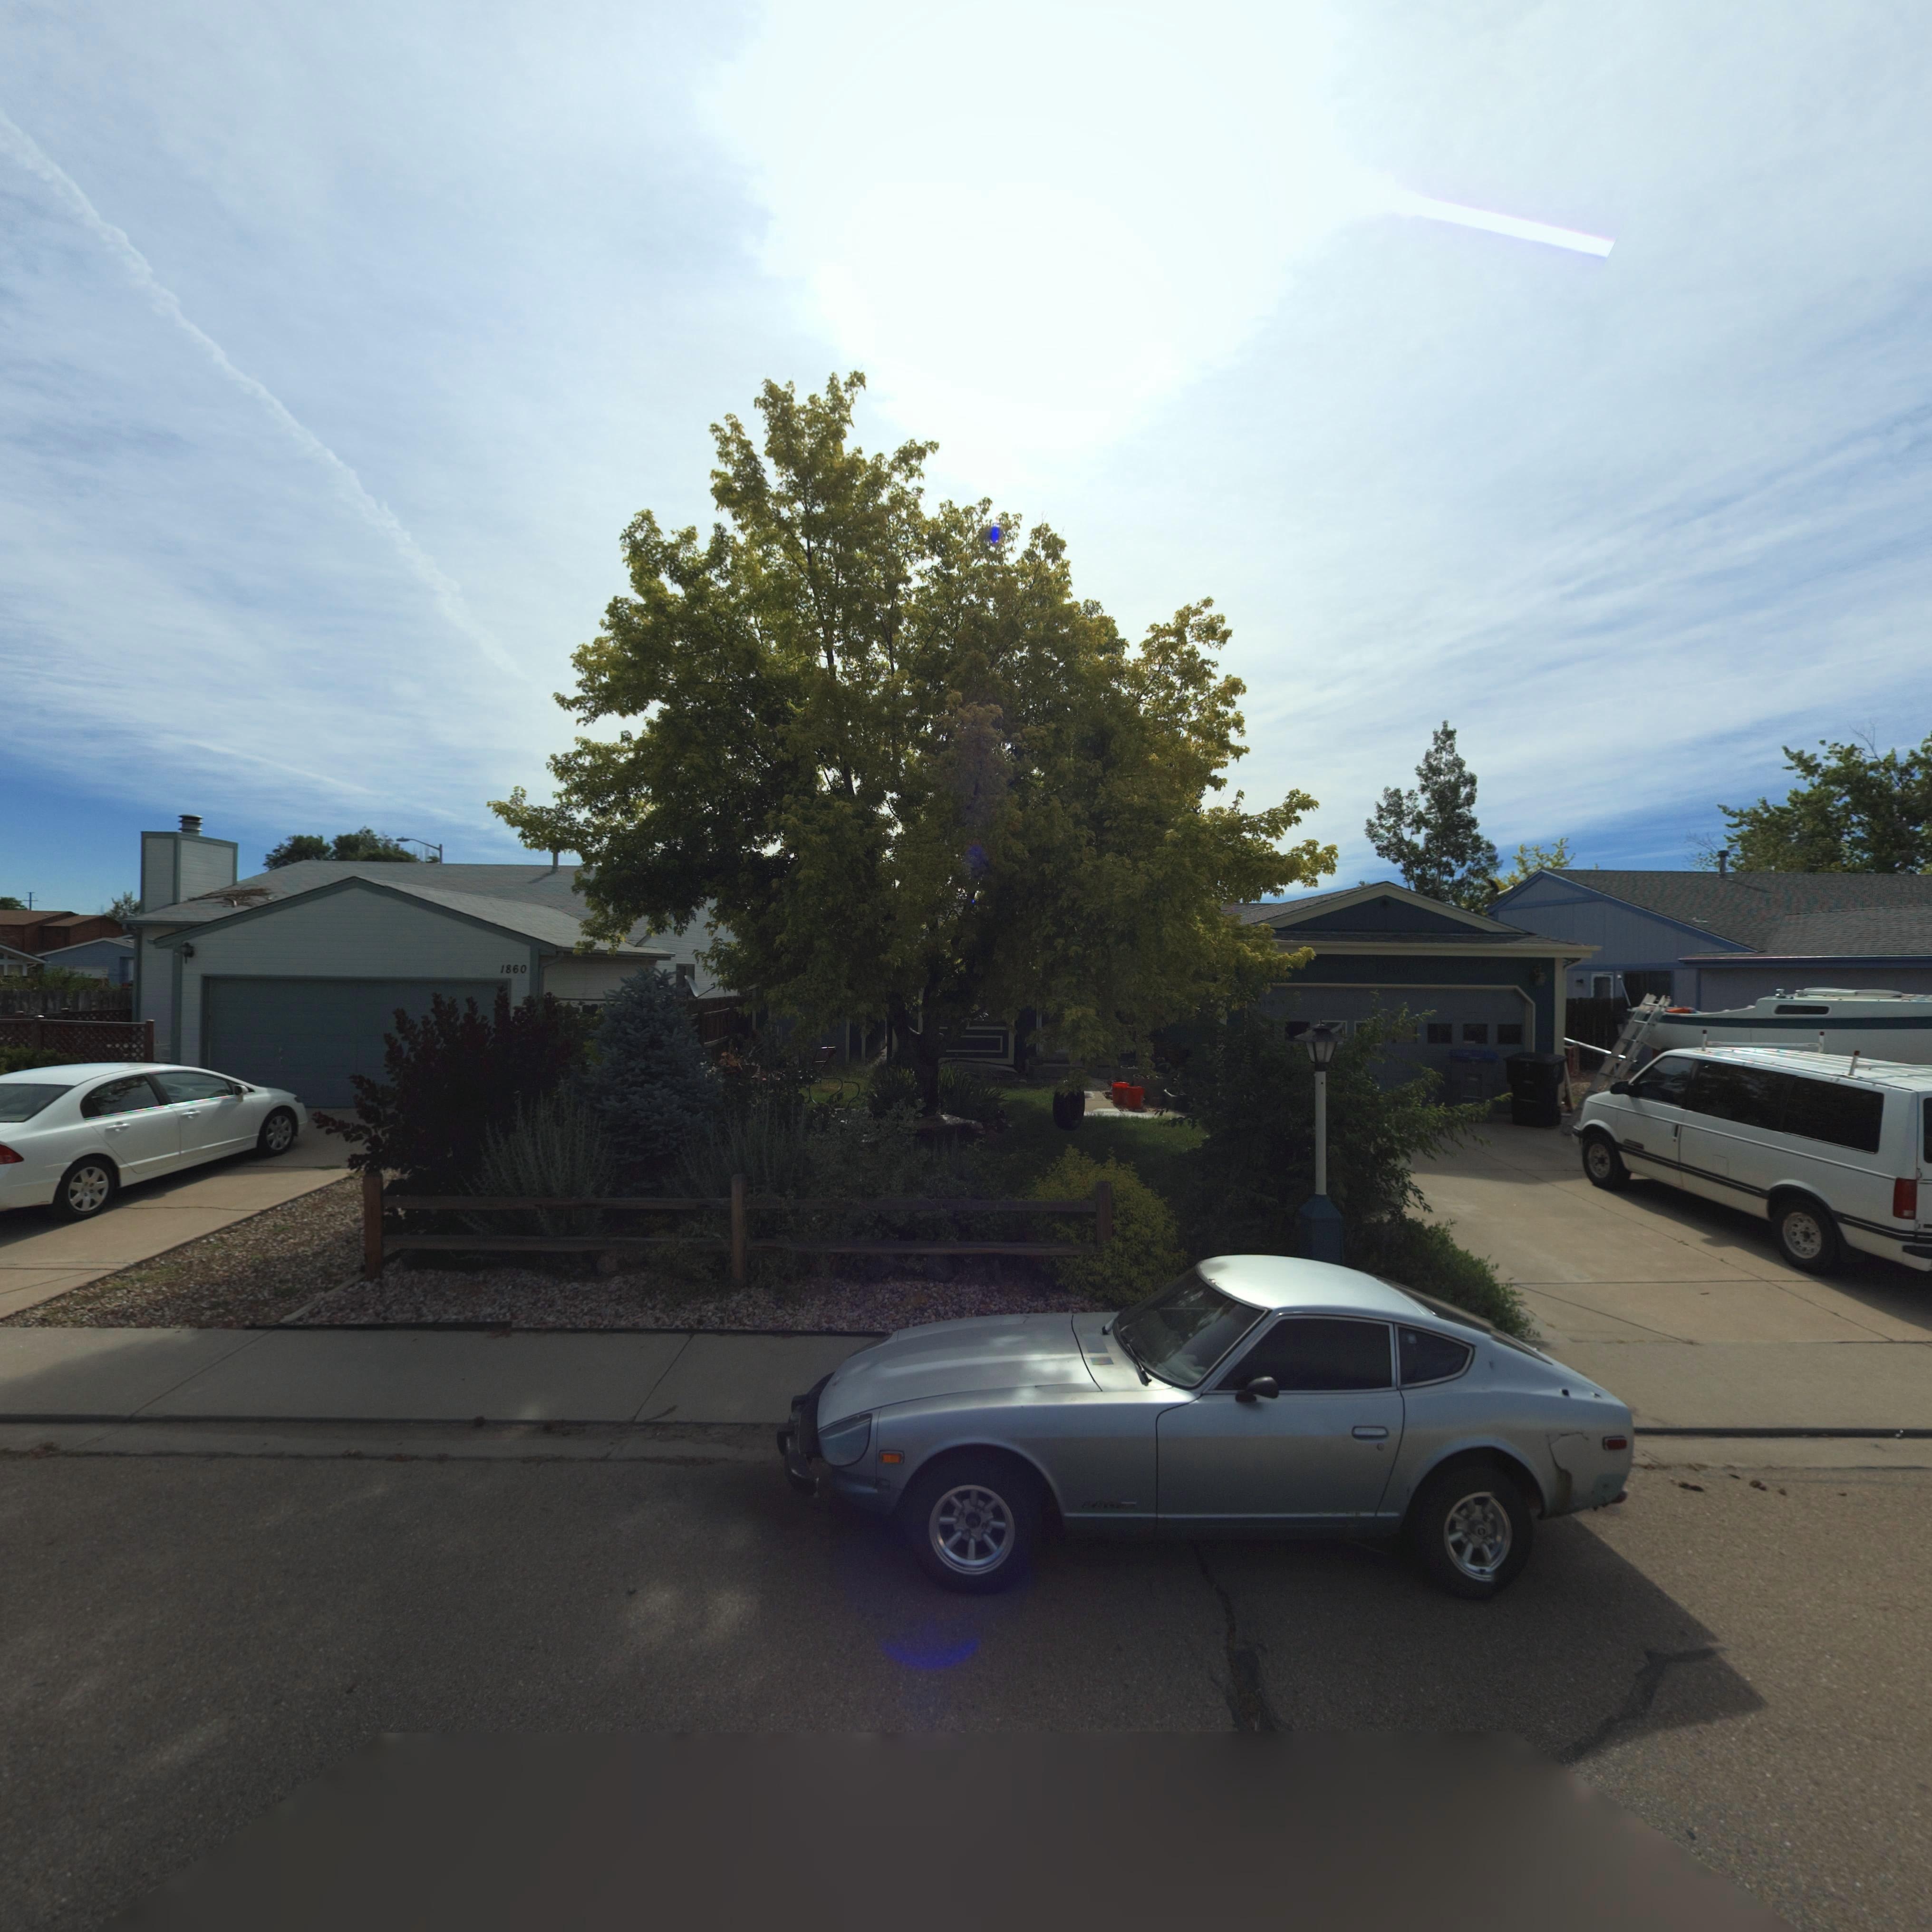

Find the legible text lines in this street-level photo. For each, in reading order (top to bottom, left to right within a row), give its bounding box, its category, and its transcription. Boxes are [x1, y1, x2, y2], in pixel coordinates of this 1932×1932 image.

[499, 963, 528, 974] StreetNumber: 1860